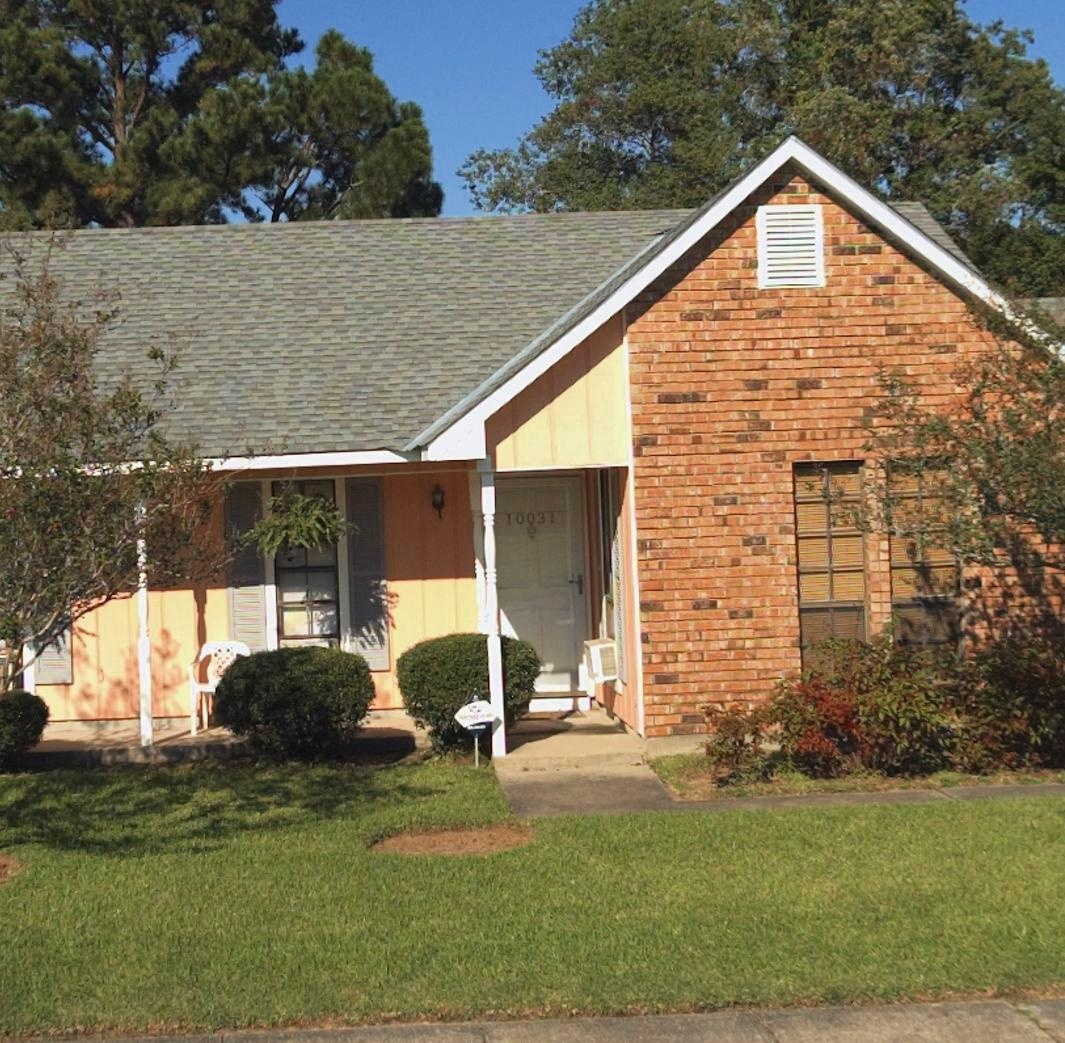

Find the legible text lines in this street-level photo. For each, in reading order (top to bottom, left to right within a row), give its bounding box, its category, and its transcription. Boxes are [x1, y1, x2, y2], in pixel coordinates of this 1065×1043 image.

[506, 511, 555, 526] StreetNumber: 10031